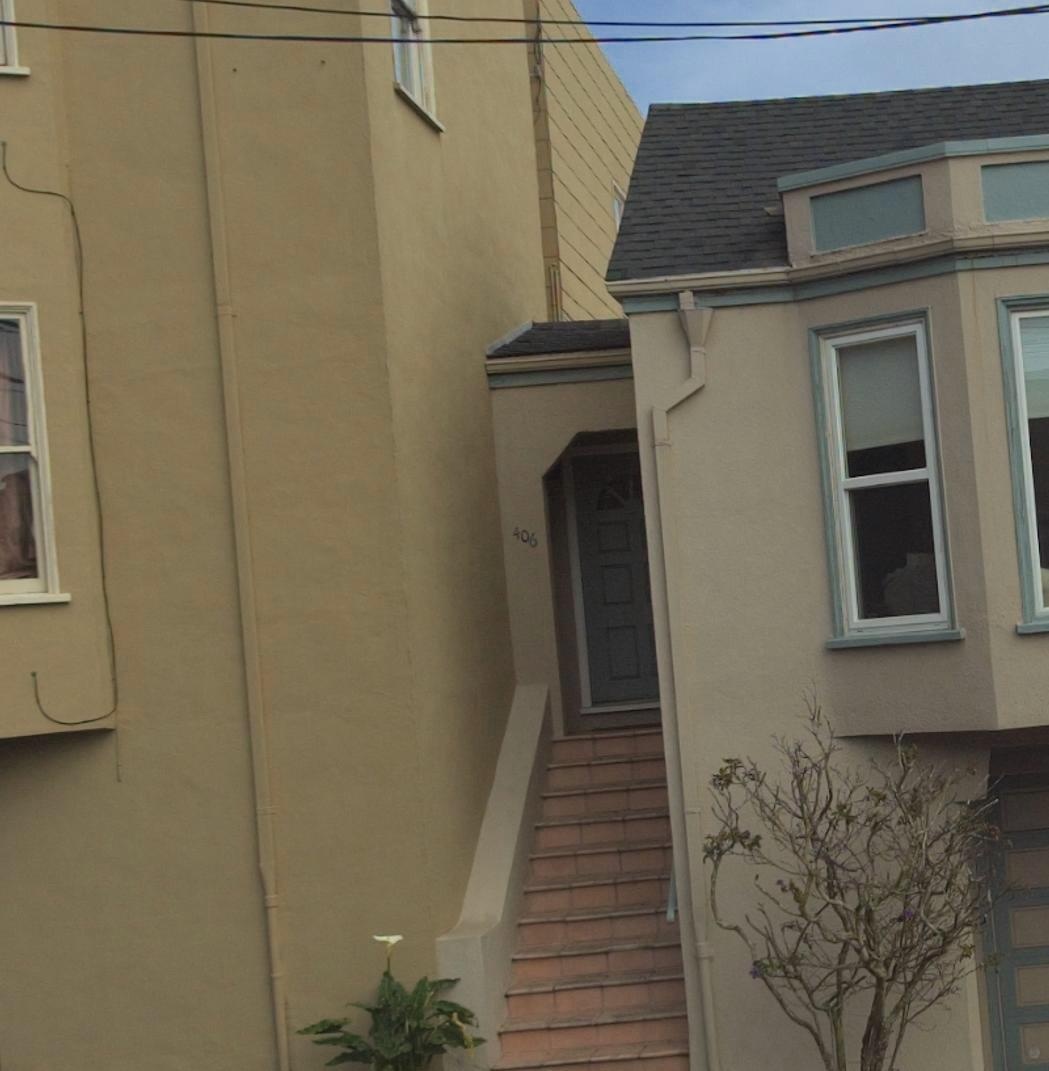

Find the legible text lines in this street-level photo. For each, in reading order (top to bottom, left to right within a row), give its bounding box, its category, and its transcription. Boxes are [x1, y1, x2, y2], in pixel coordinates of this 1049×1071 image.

[511, 524, 540, 550] StreetNumber: 406